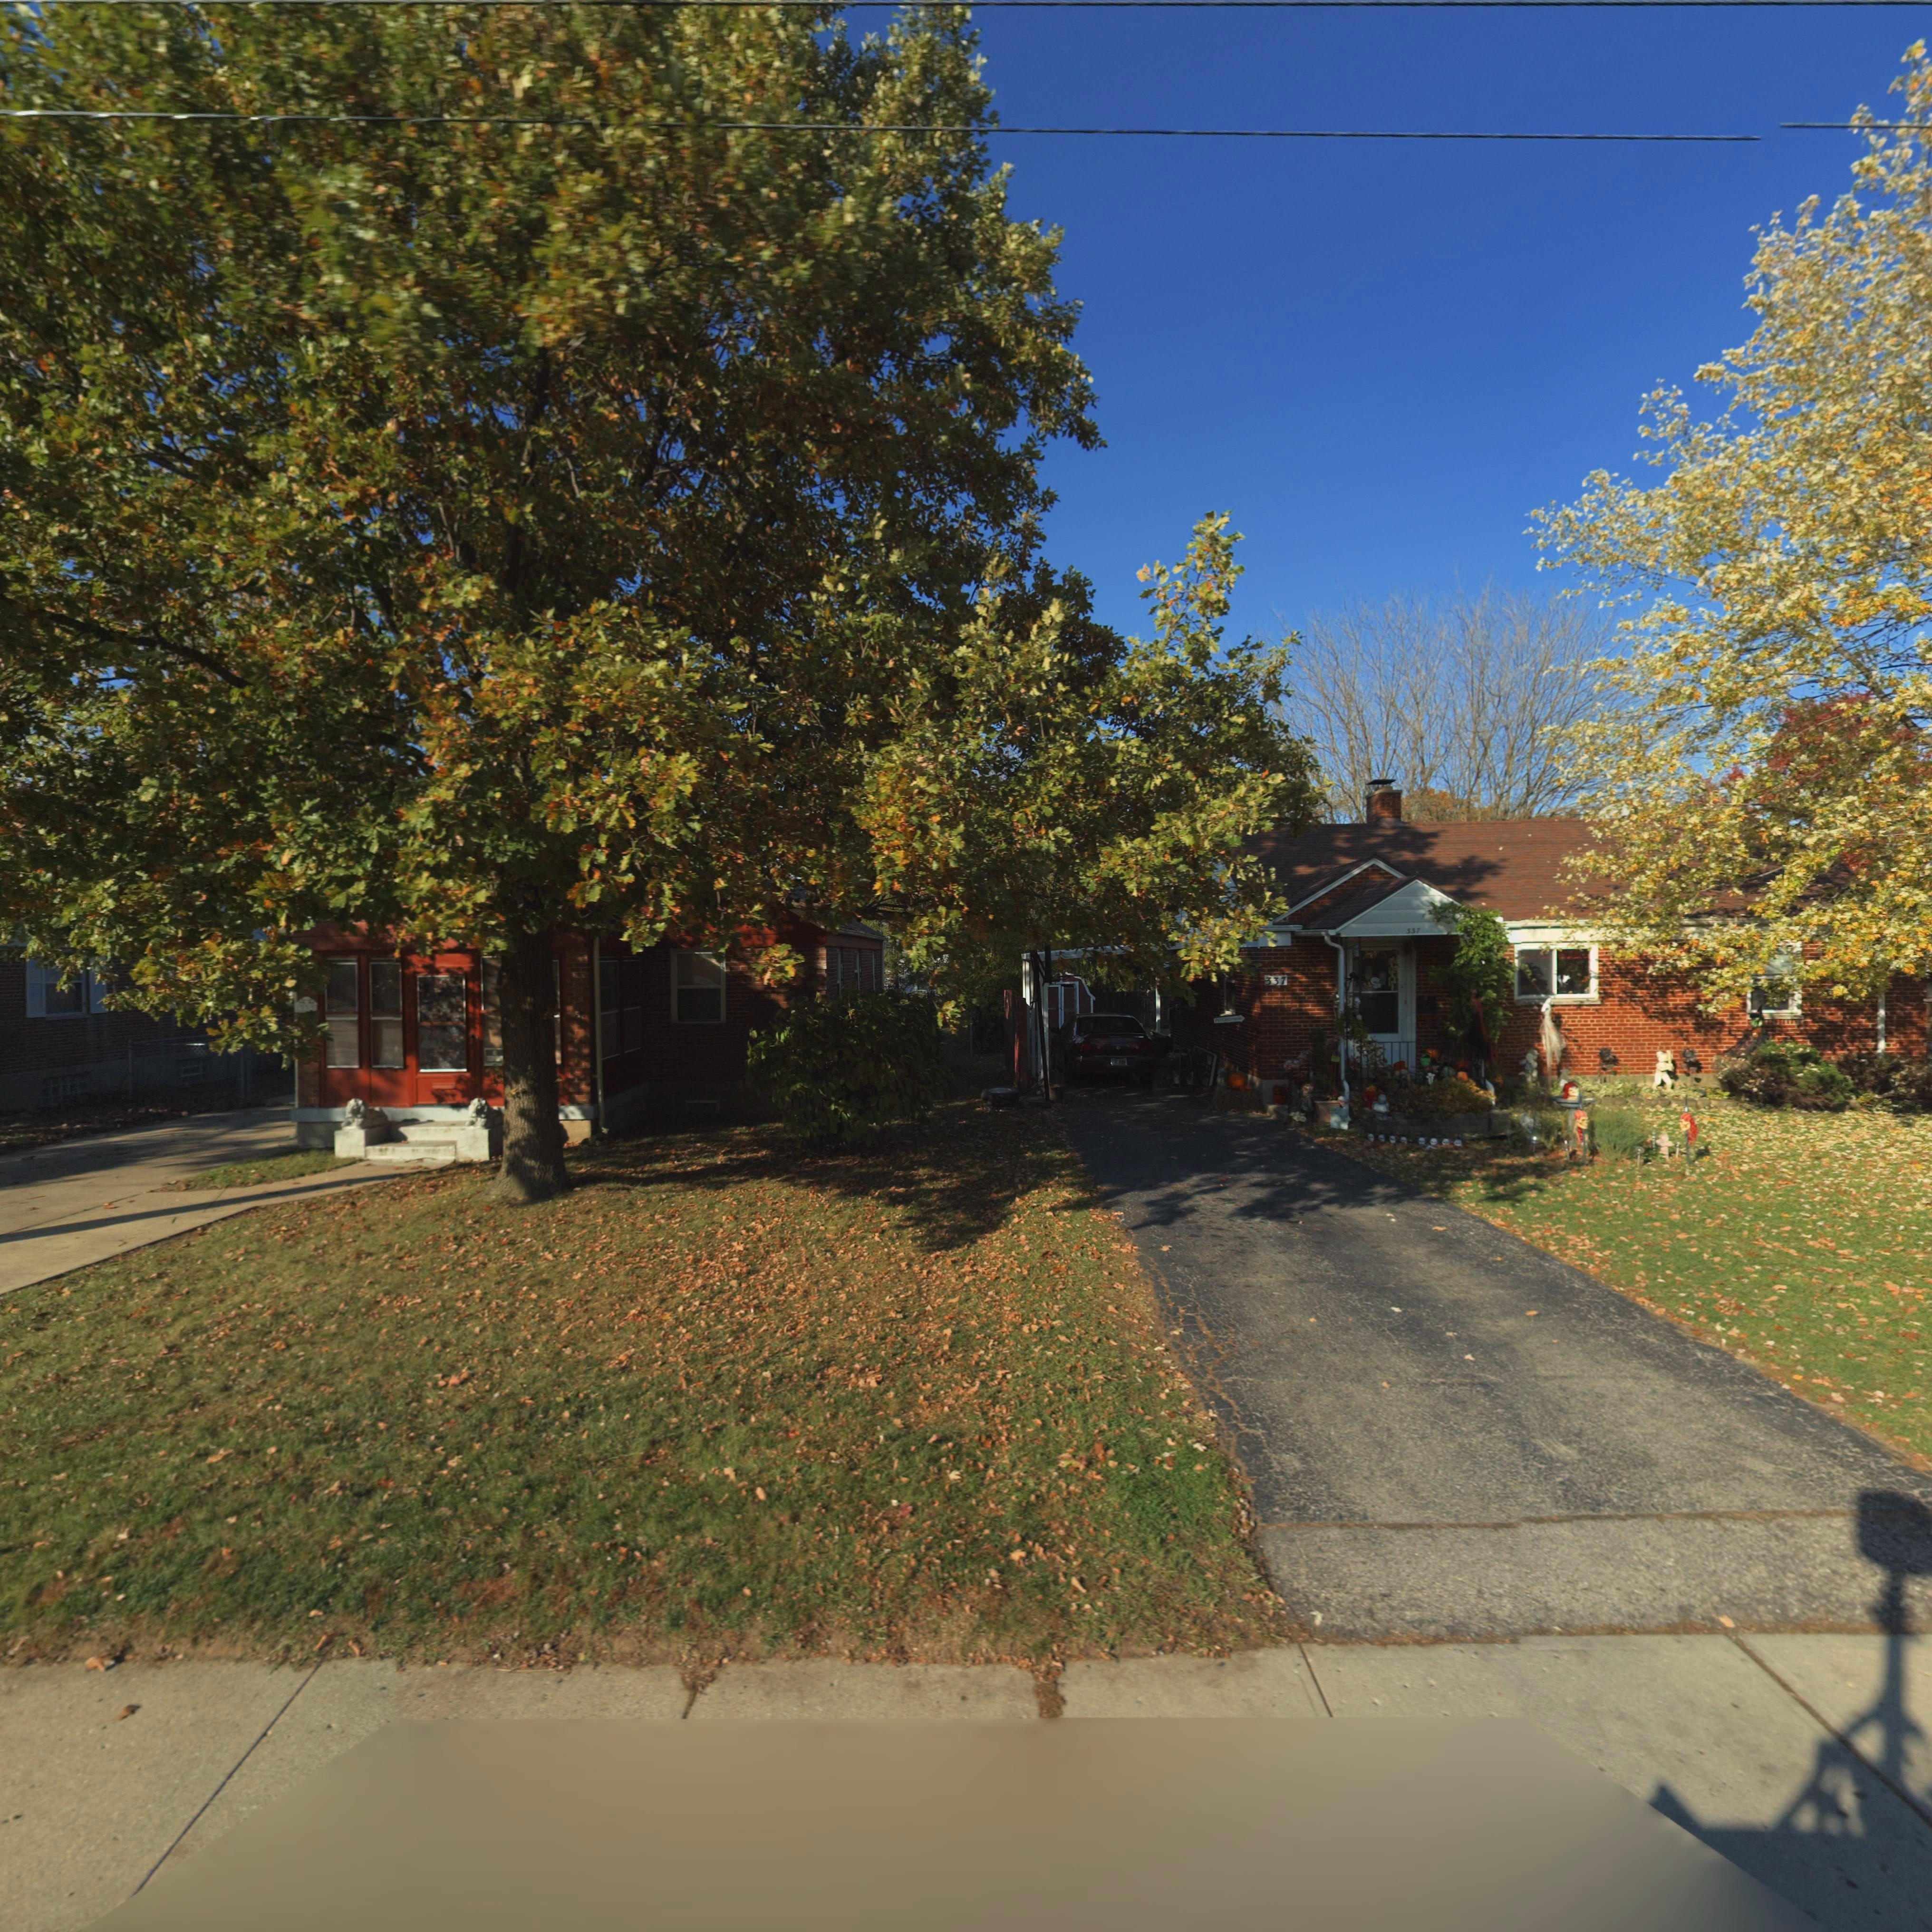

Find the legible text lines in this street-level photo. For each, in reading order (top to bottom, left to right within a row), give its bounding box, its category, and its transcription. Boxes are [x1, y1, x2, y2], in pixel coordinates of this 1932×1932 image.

[1405, 927, 1421, 935] StreetNumber: 337
[1265, 976, 1287, 986] StreetNumber: 337